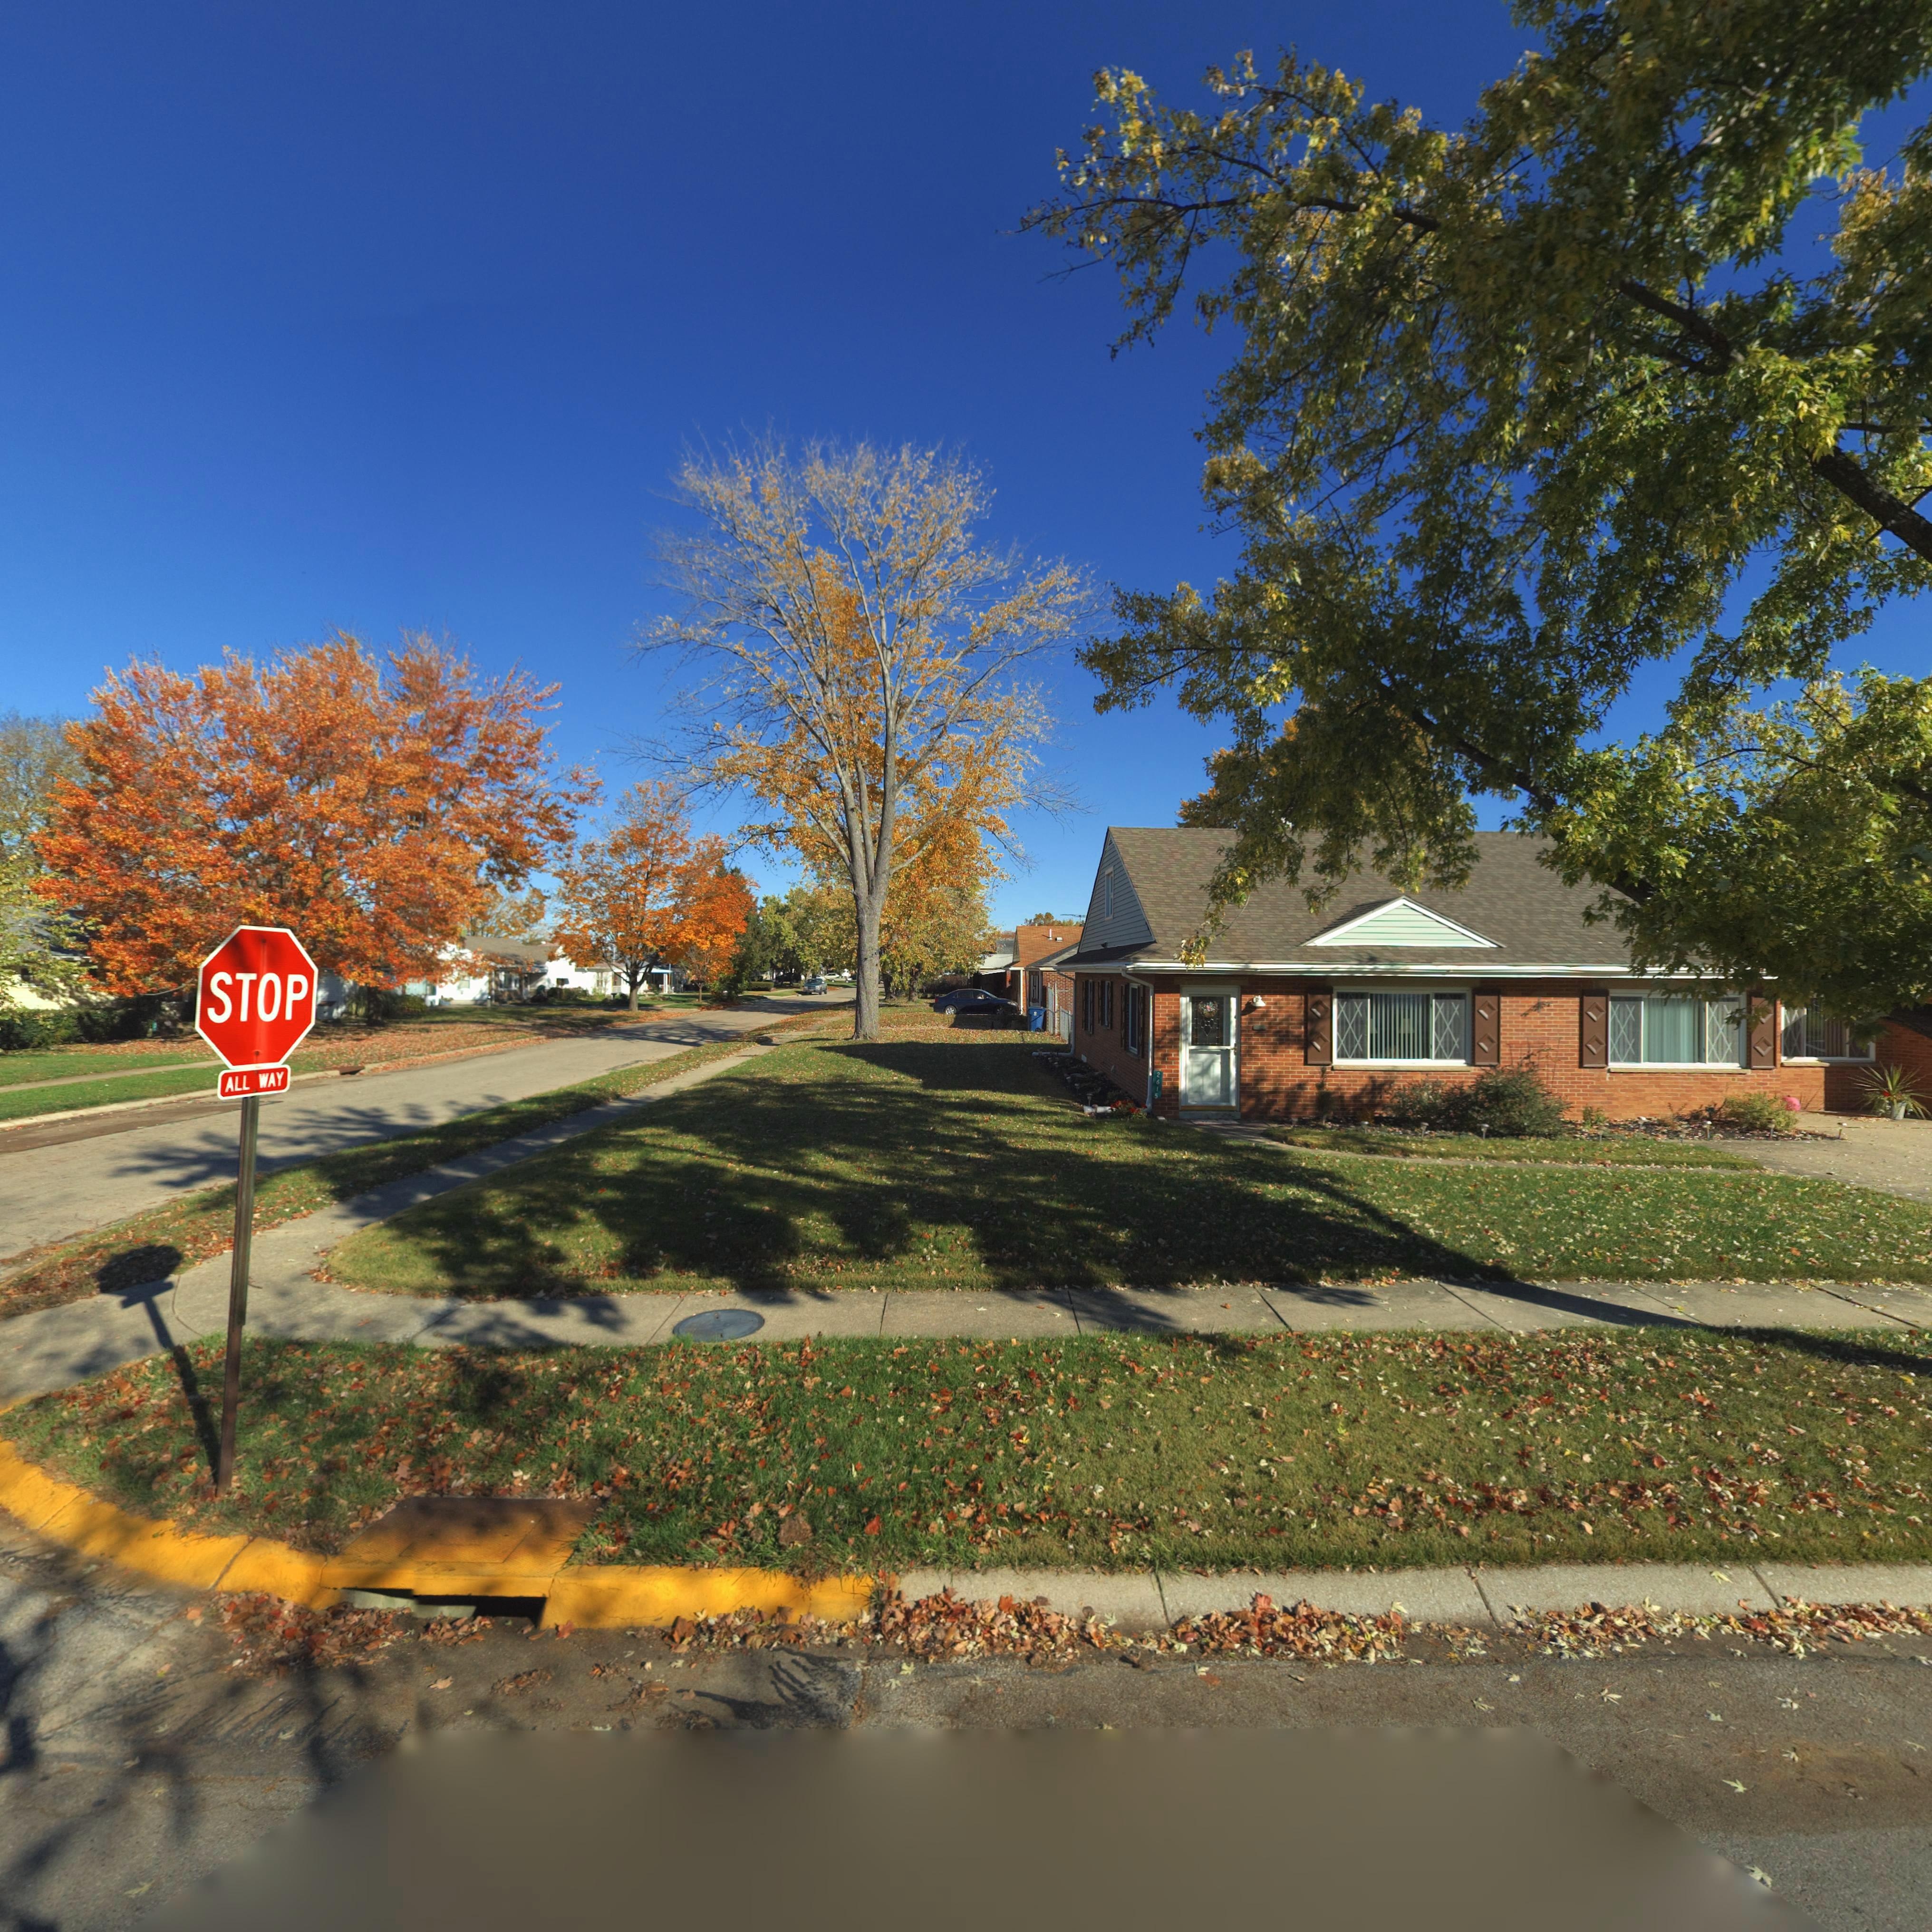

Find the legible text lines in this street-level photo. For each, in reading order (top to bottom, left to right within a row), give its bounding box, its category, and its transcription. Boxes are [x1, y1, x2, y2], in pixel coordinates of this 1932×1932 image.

[1154, 1071, 1161, 1099] StreetNumber: 2615